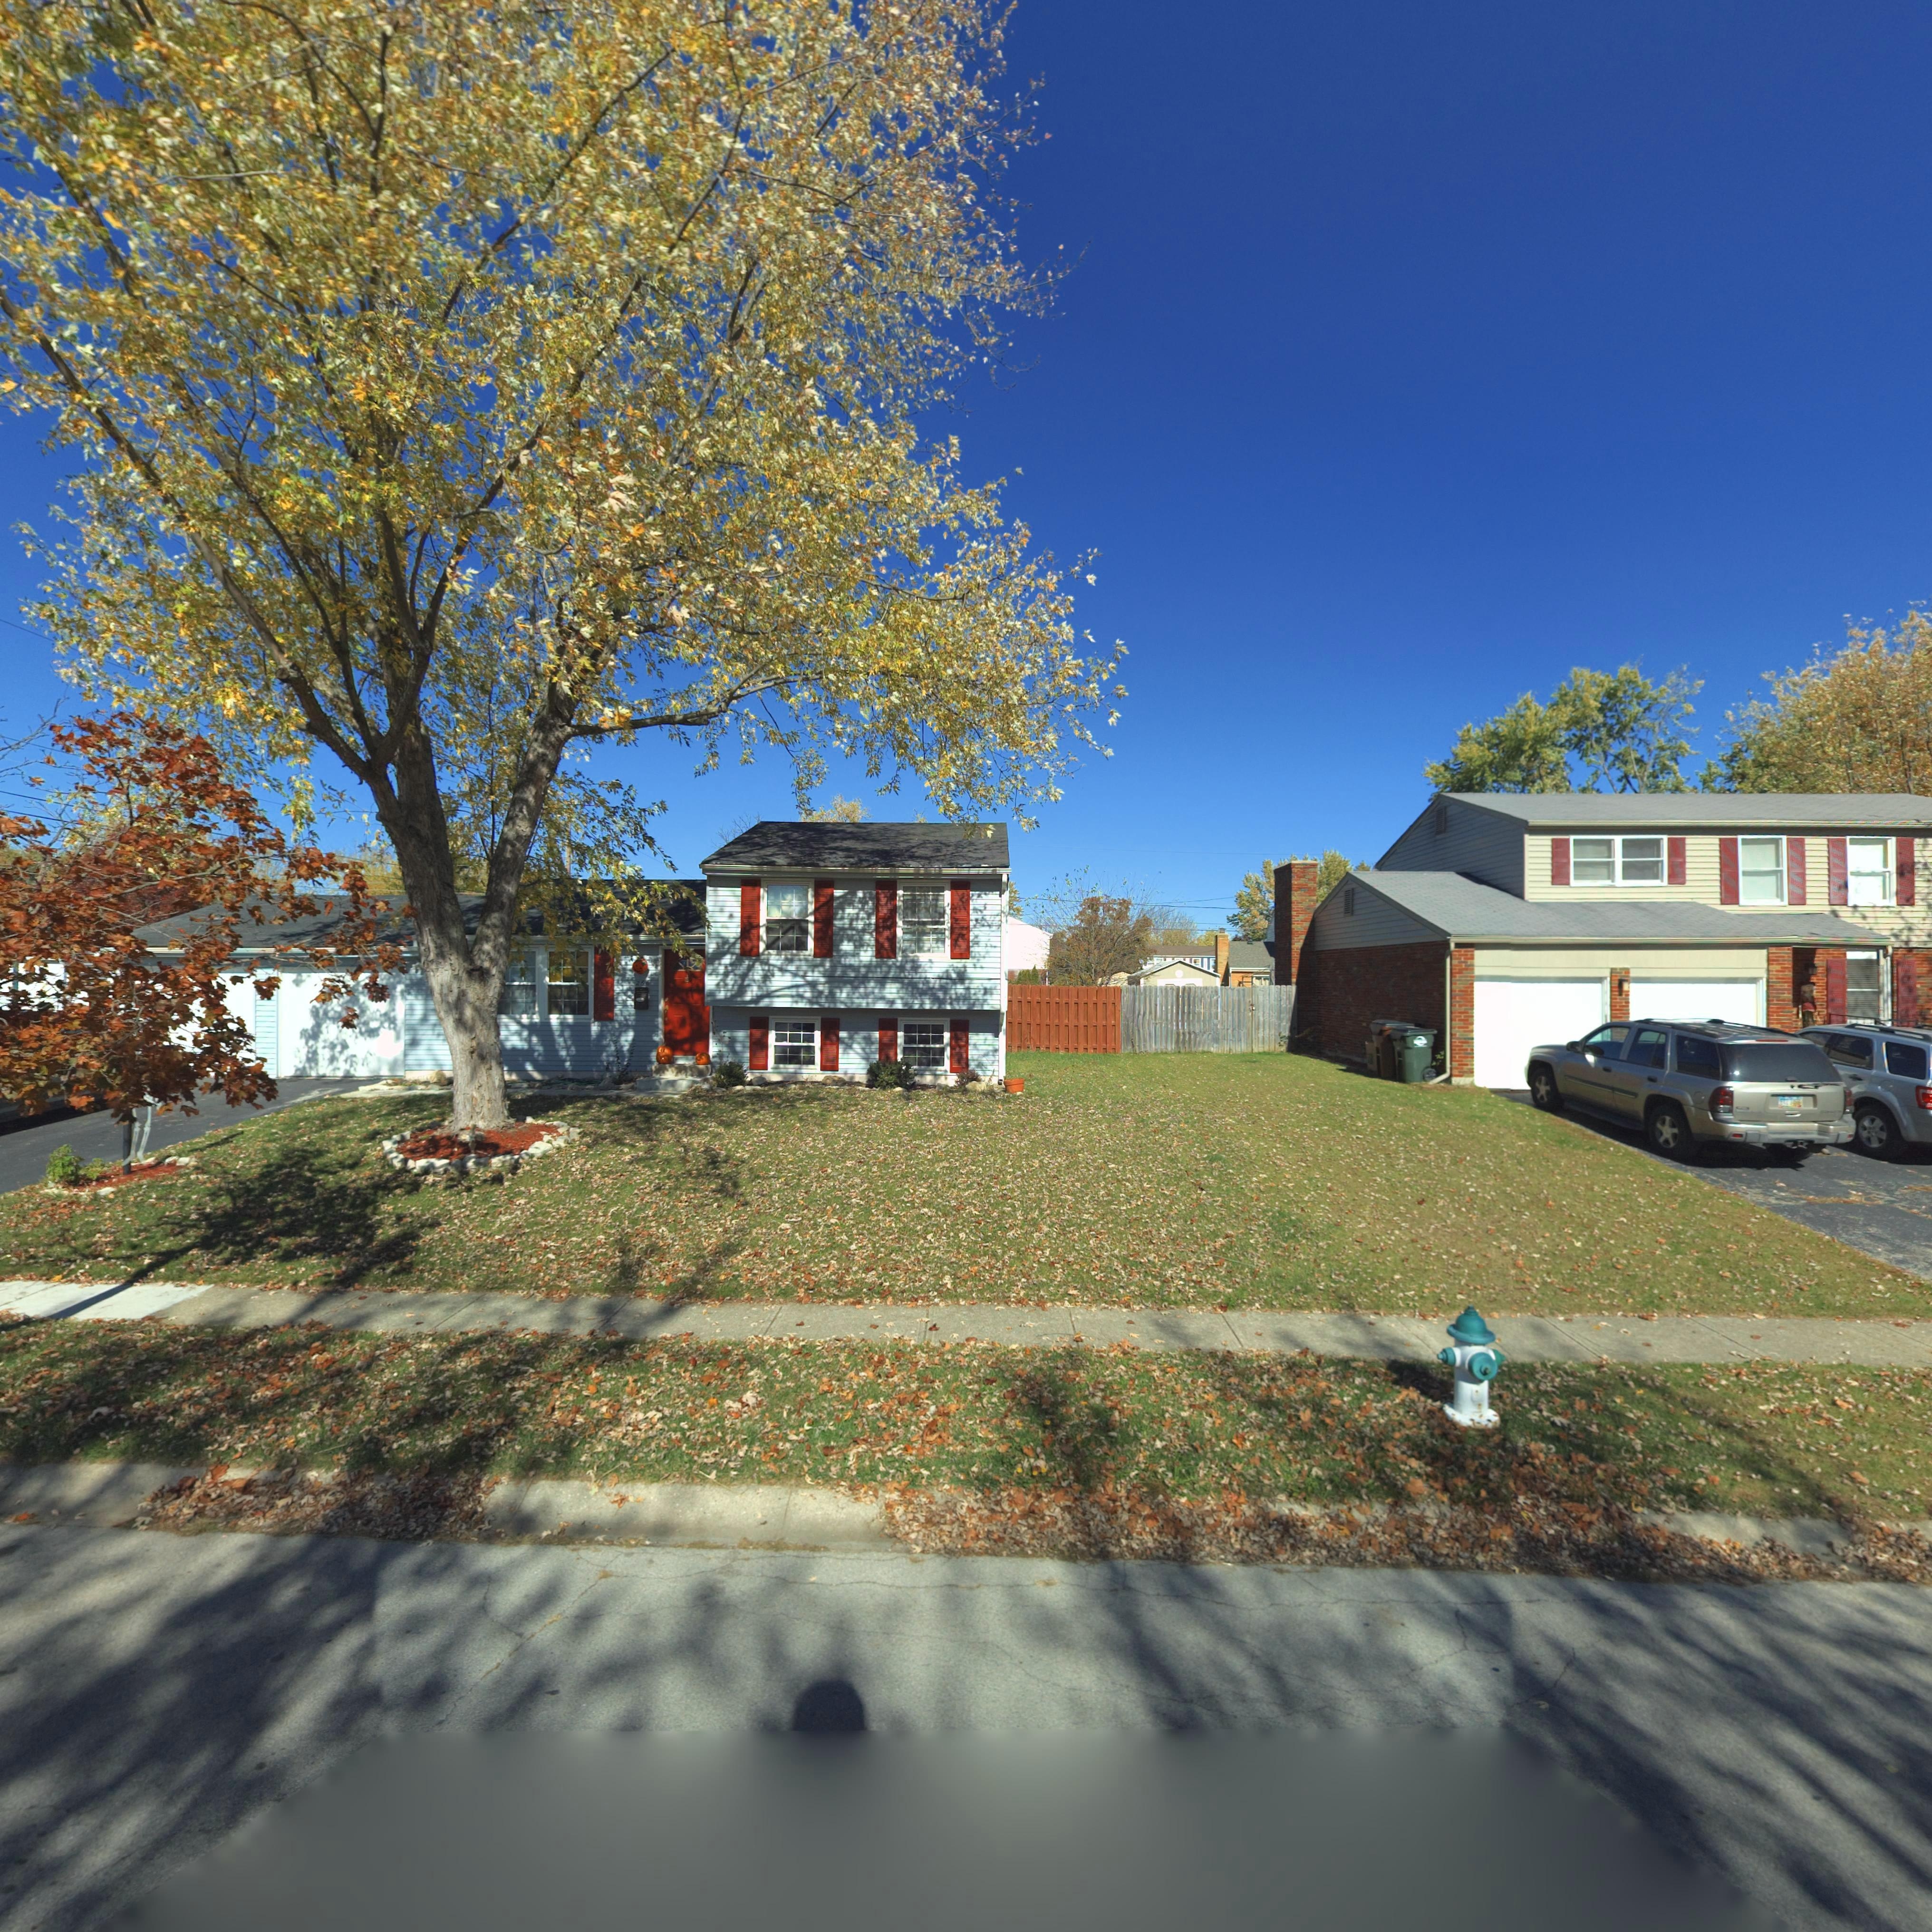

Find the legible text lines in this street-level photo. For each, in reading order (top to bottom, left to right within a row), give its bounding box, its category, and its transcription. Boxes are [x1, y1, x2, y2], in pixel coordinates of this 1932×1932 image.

[635, 980, 650, 986] StreetNumber: 266